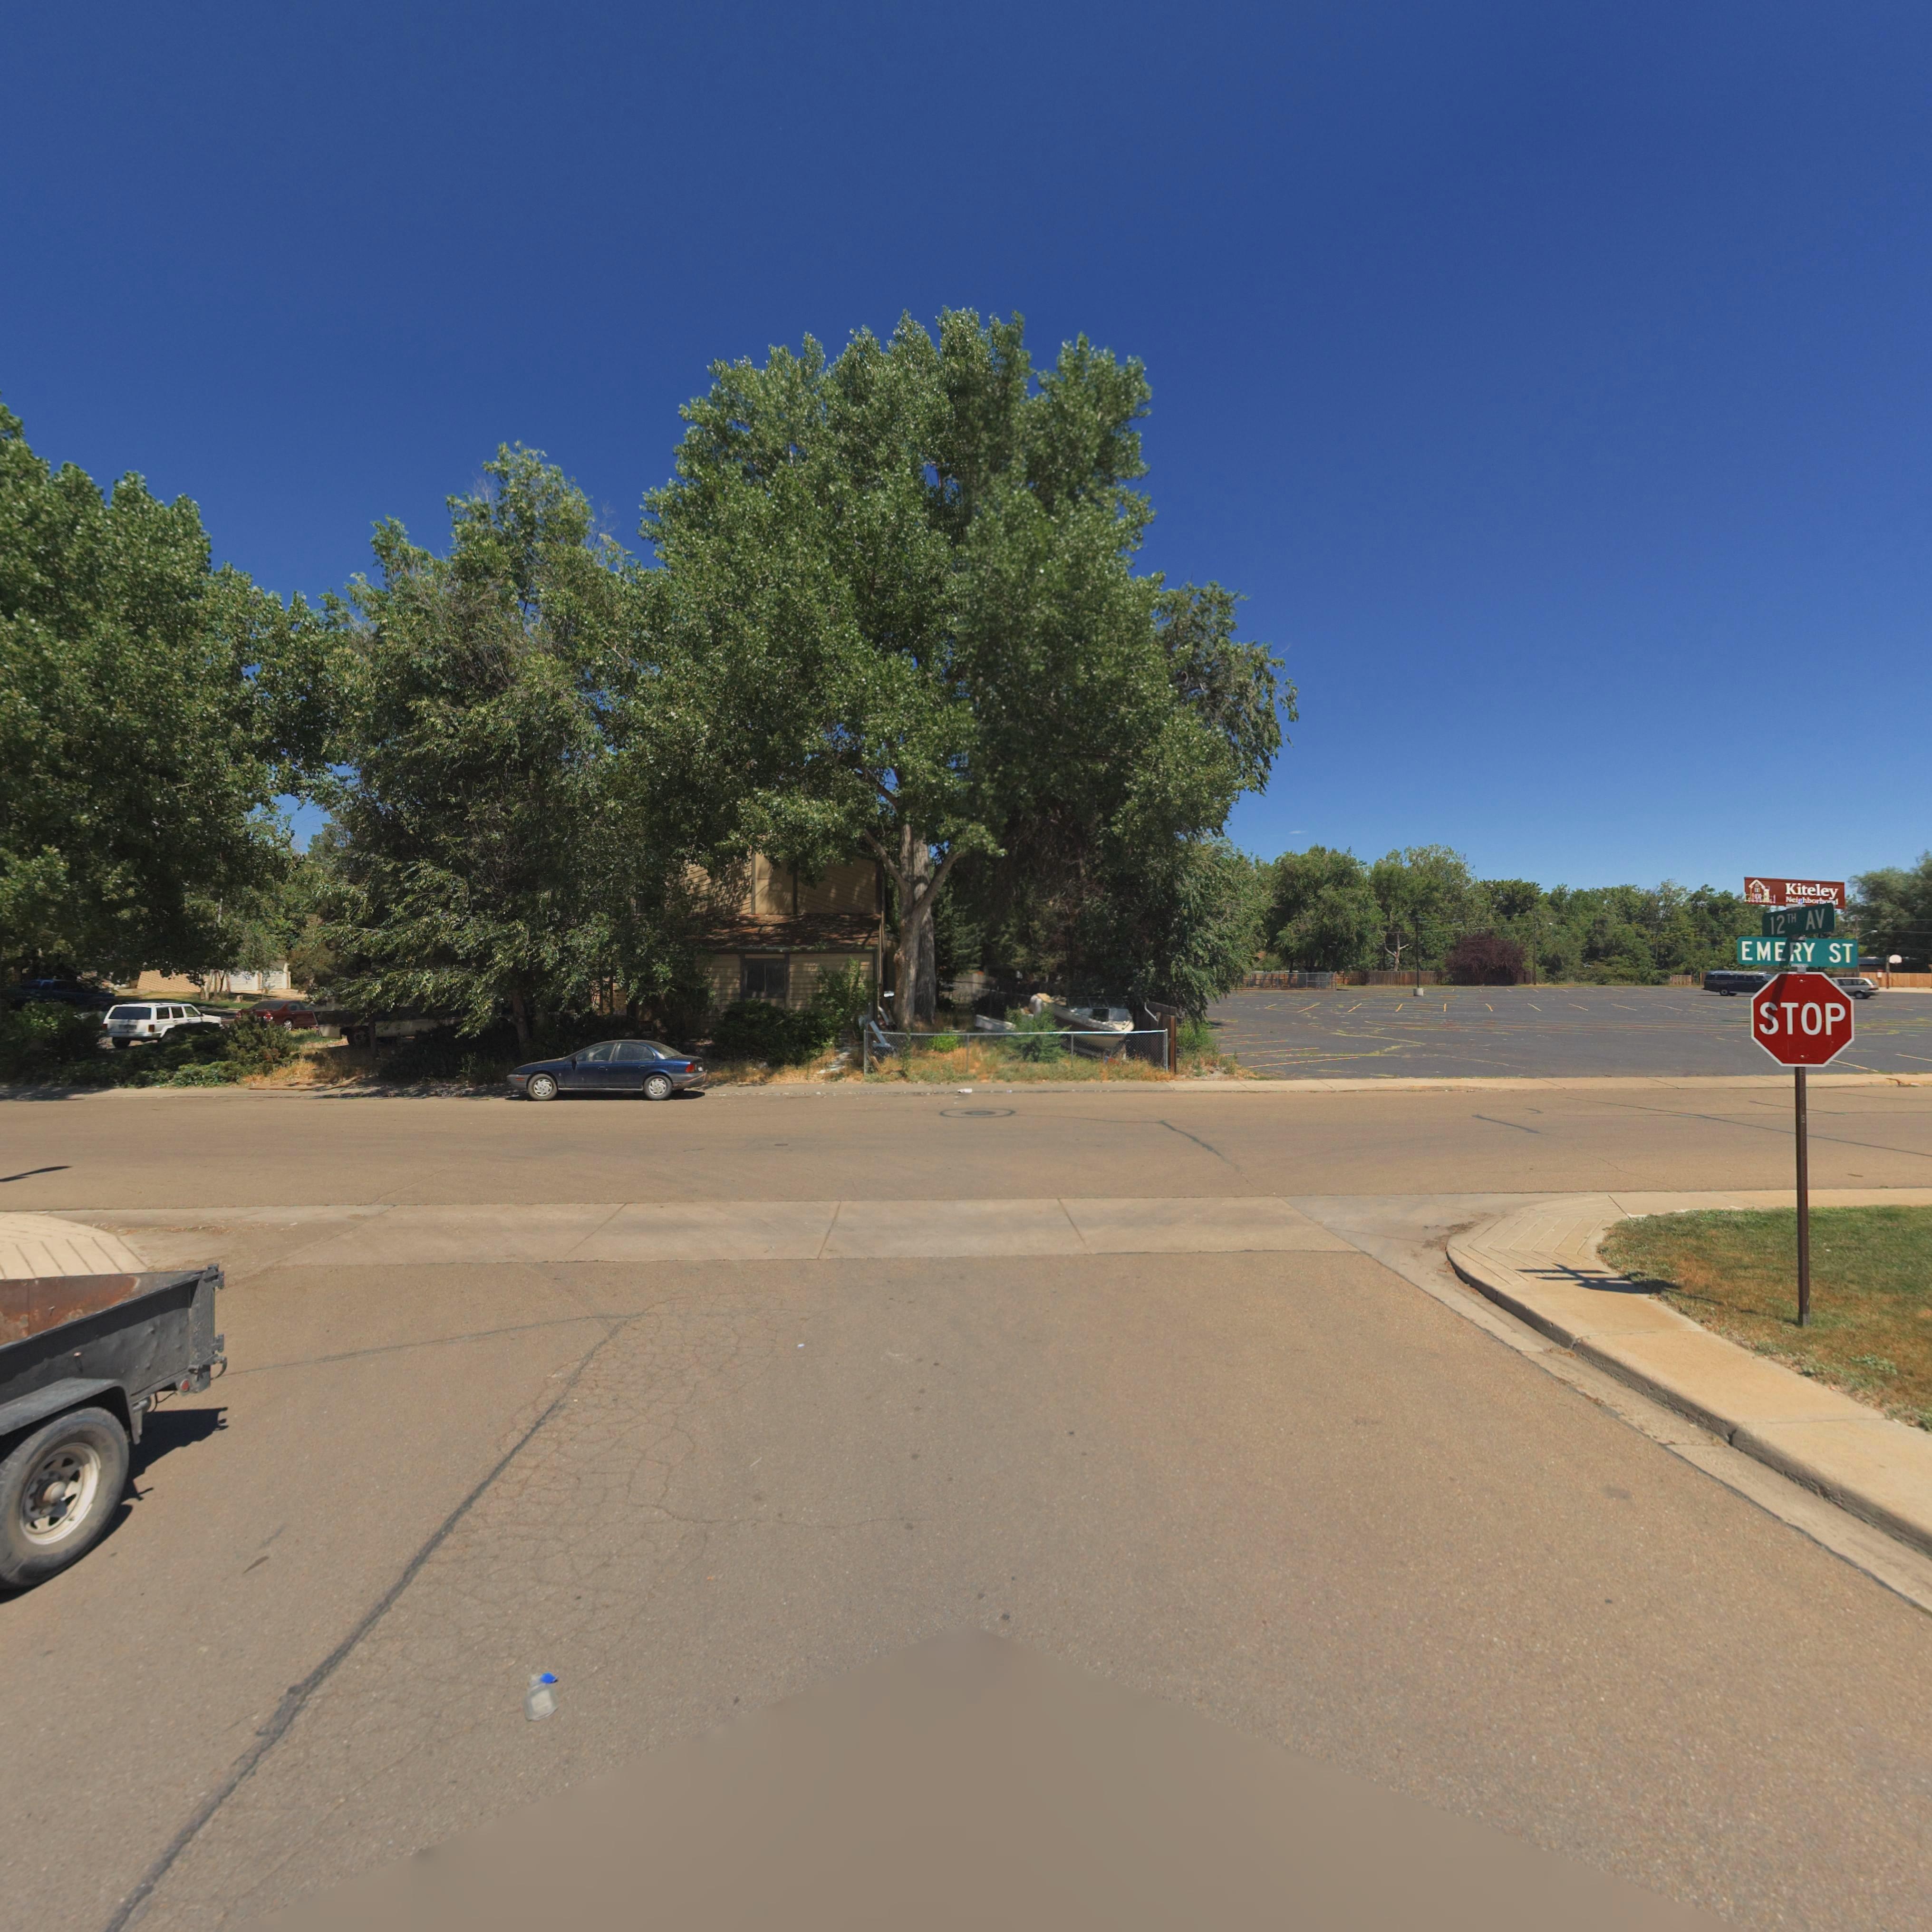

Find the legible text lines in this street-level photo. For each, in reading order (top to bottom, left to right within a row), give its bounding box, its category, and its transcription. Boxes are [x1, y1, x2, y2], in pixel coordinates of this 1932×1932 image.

[1770, 908, 1825, 935] StreetName: 12TH AV
[1741, 939, 1854, 963] StreetName: EMERY ST